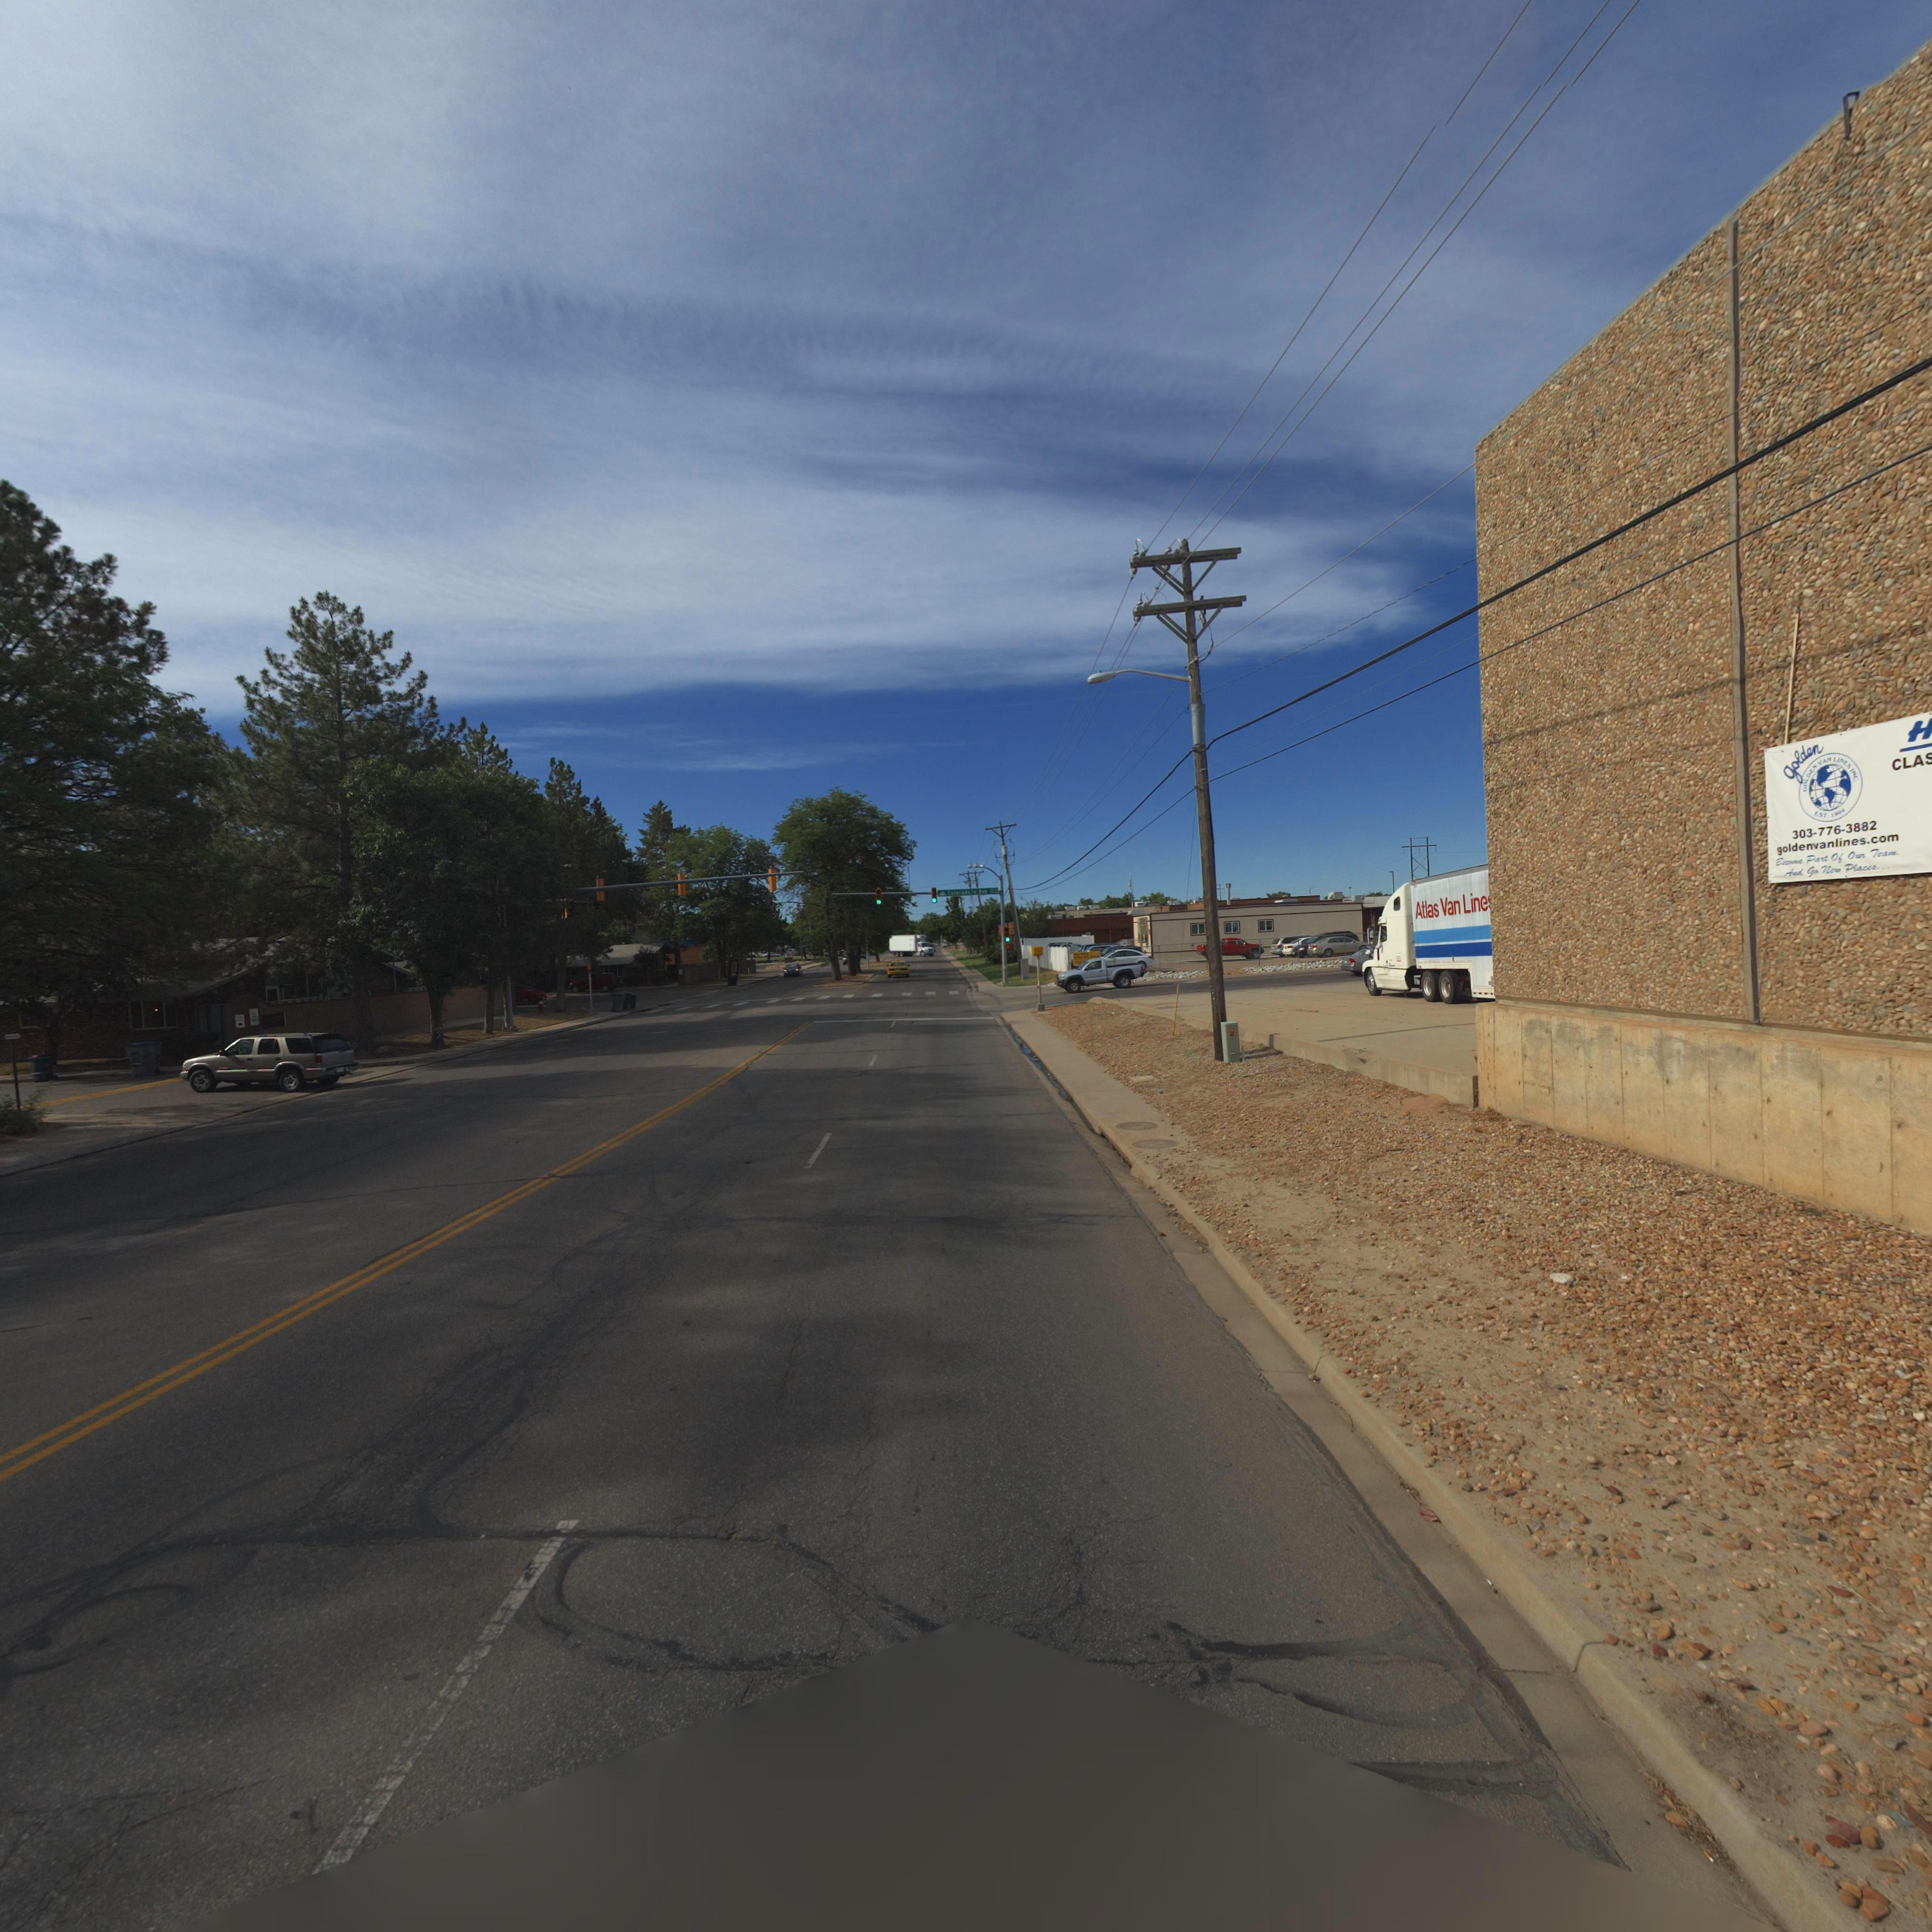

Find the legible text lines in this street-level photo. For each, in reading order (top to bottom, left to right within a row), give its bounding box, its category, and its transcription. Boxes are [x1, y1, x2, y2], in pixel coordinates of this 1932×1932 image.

[1783, 743, 1825, 783] BusinessName: golden
[1801, 754, 1859, 792] BusinessName: GO*DEN VAN LI*ES INC
[947, 889, 987, 895] StreetName: Colorado*o Ave